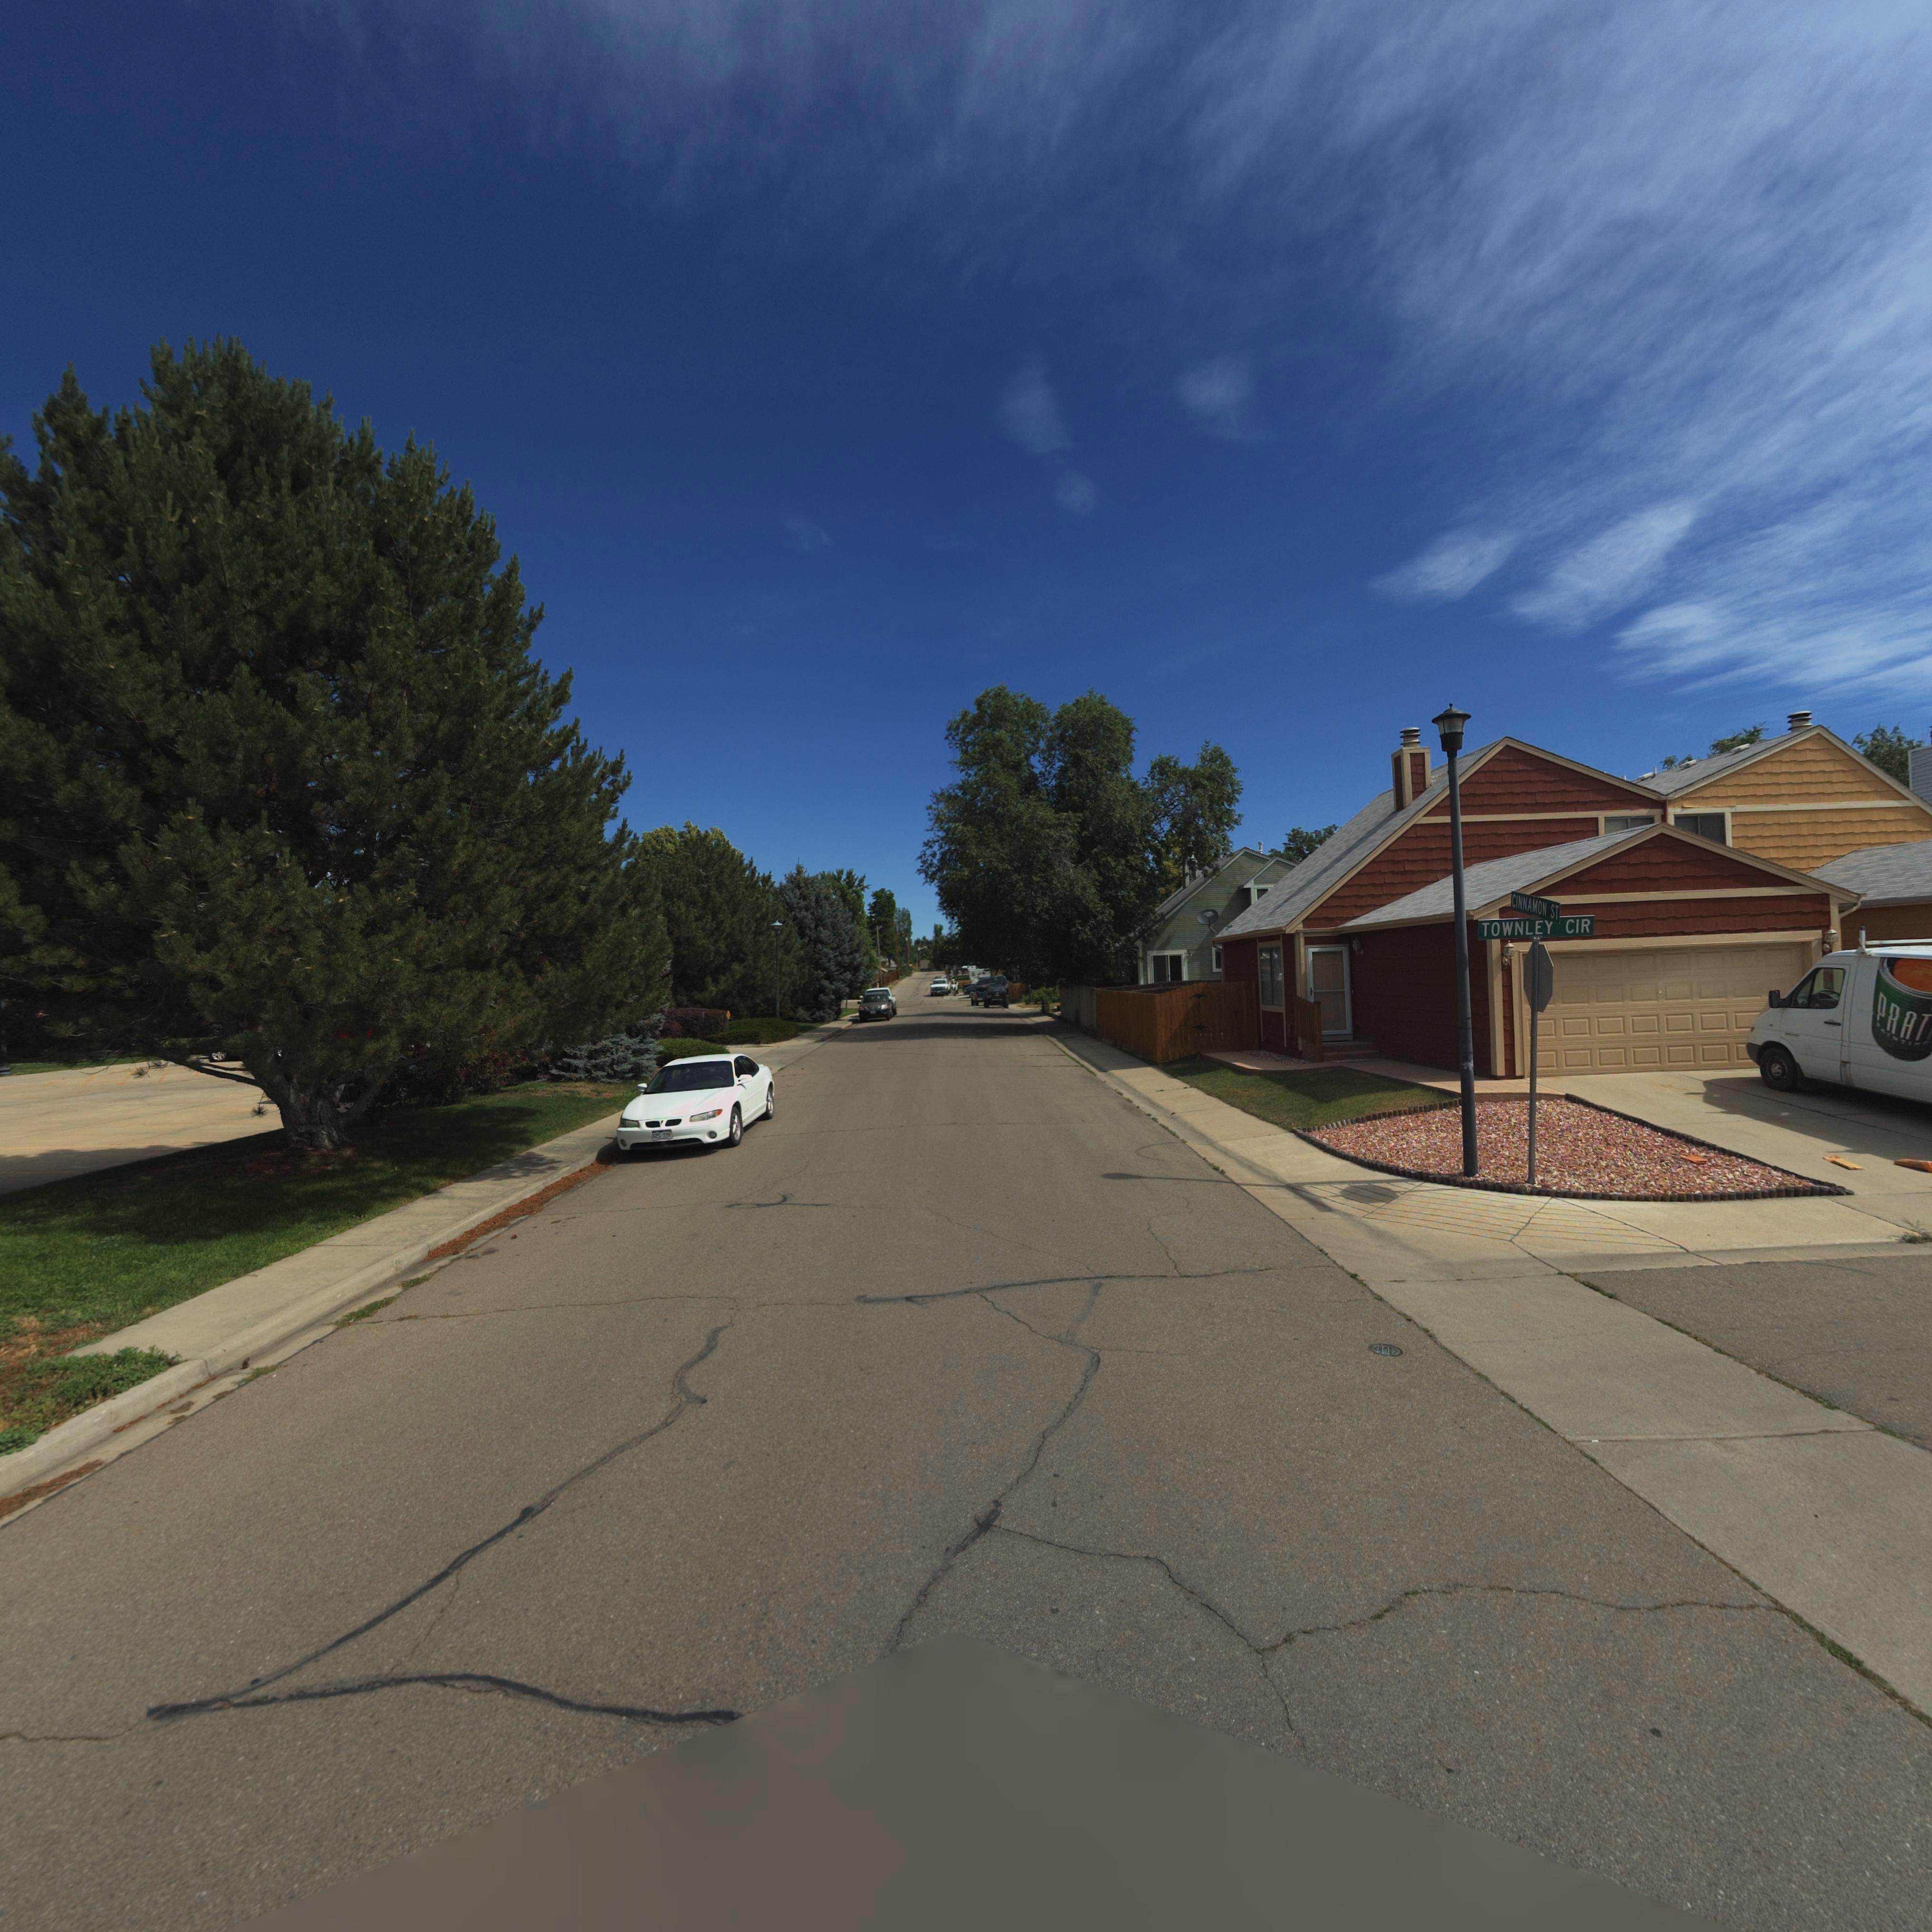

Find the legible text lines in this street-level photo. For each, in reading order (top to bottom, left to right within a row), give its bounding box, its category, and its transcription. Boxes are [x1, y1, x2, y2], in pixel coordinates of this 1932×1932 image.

[1511, 894, 1559, 919] StreetName: CINNAMON ST
[1481, 918, 1591, 937] StreetName: TOWNLEY CIR